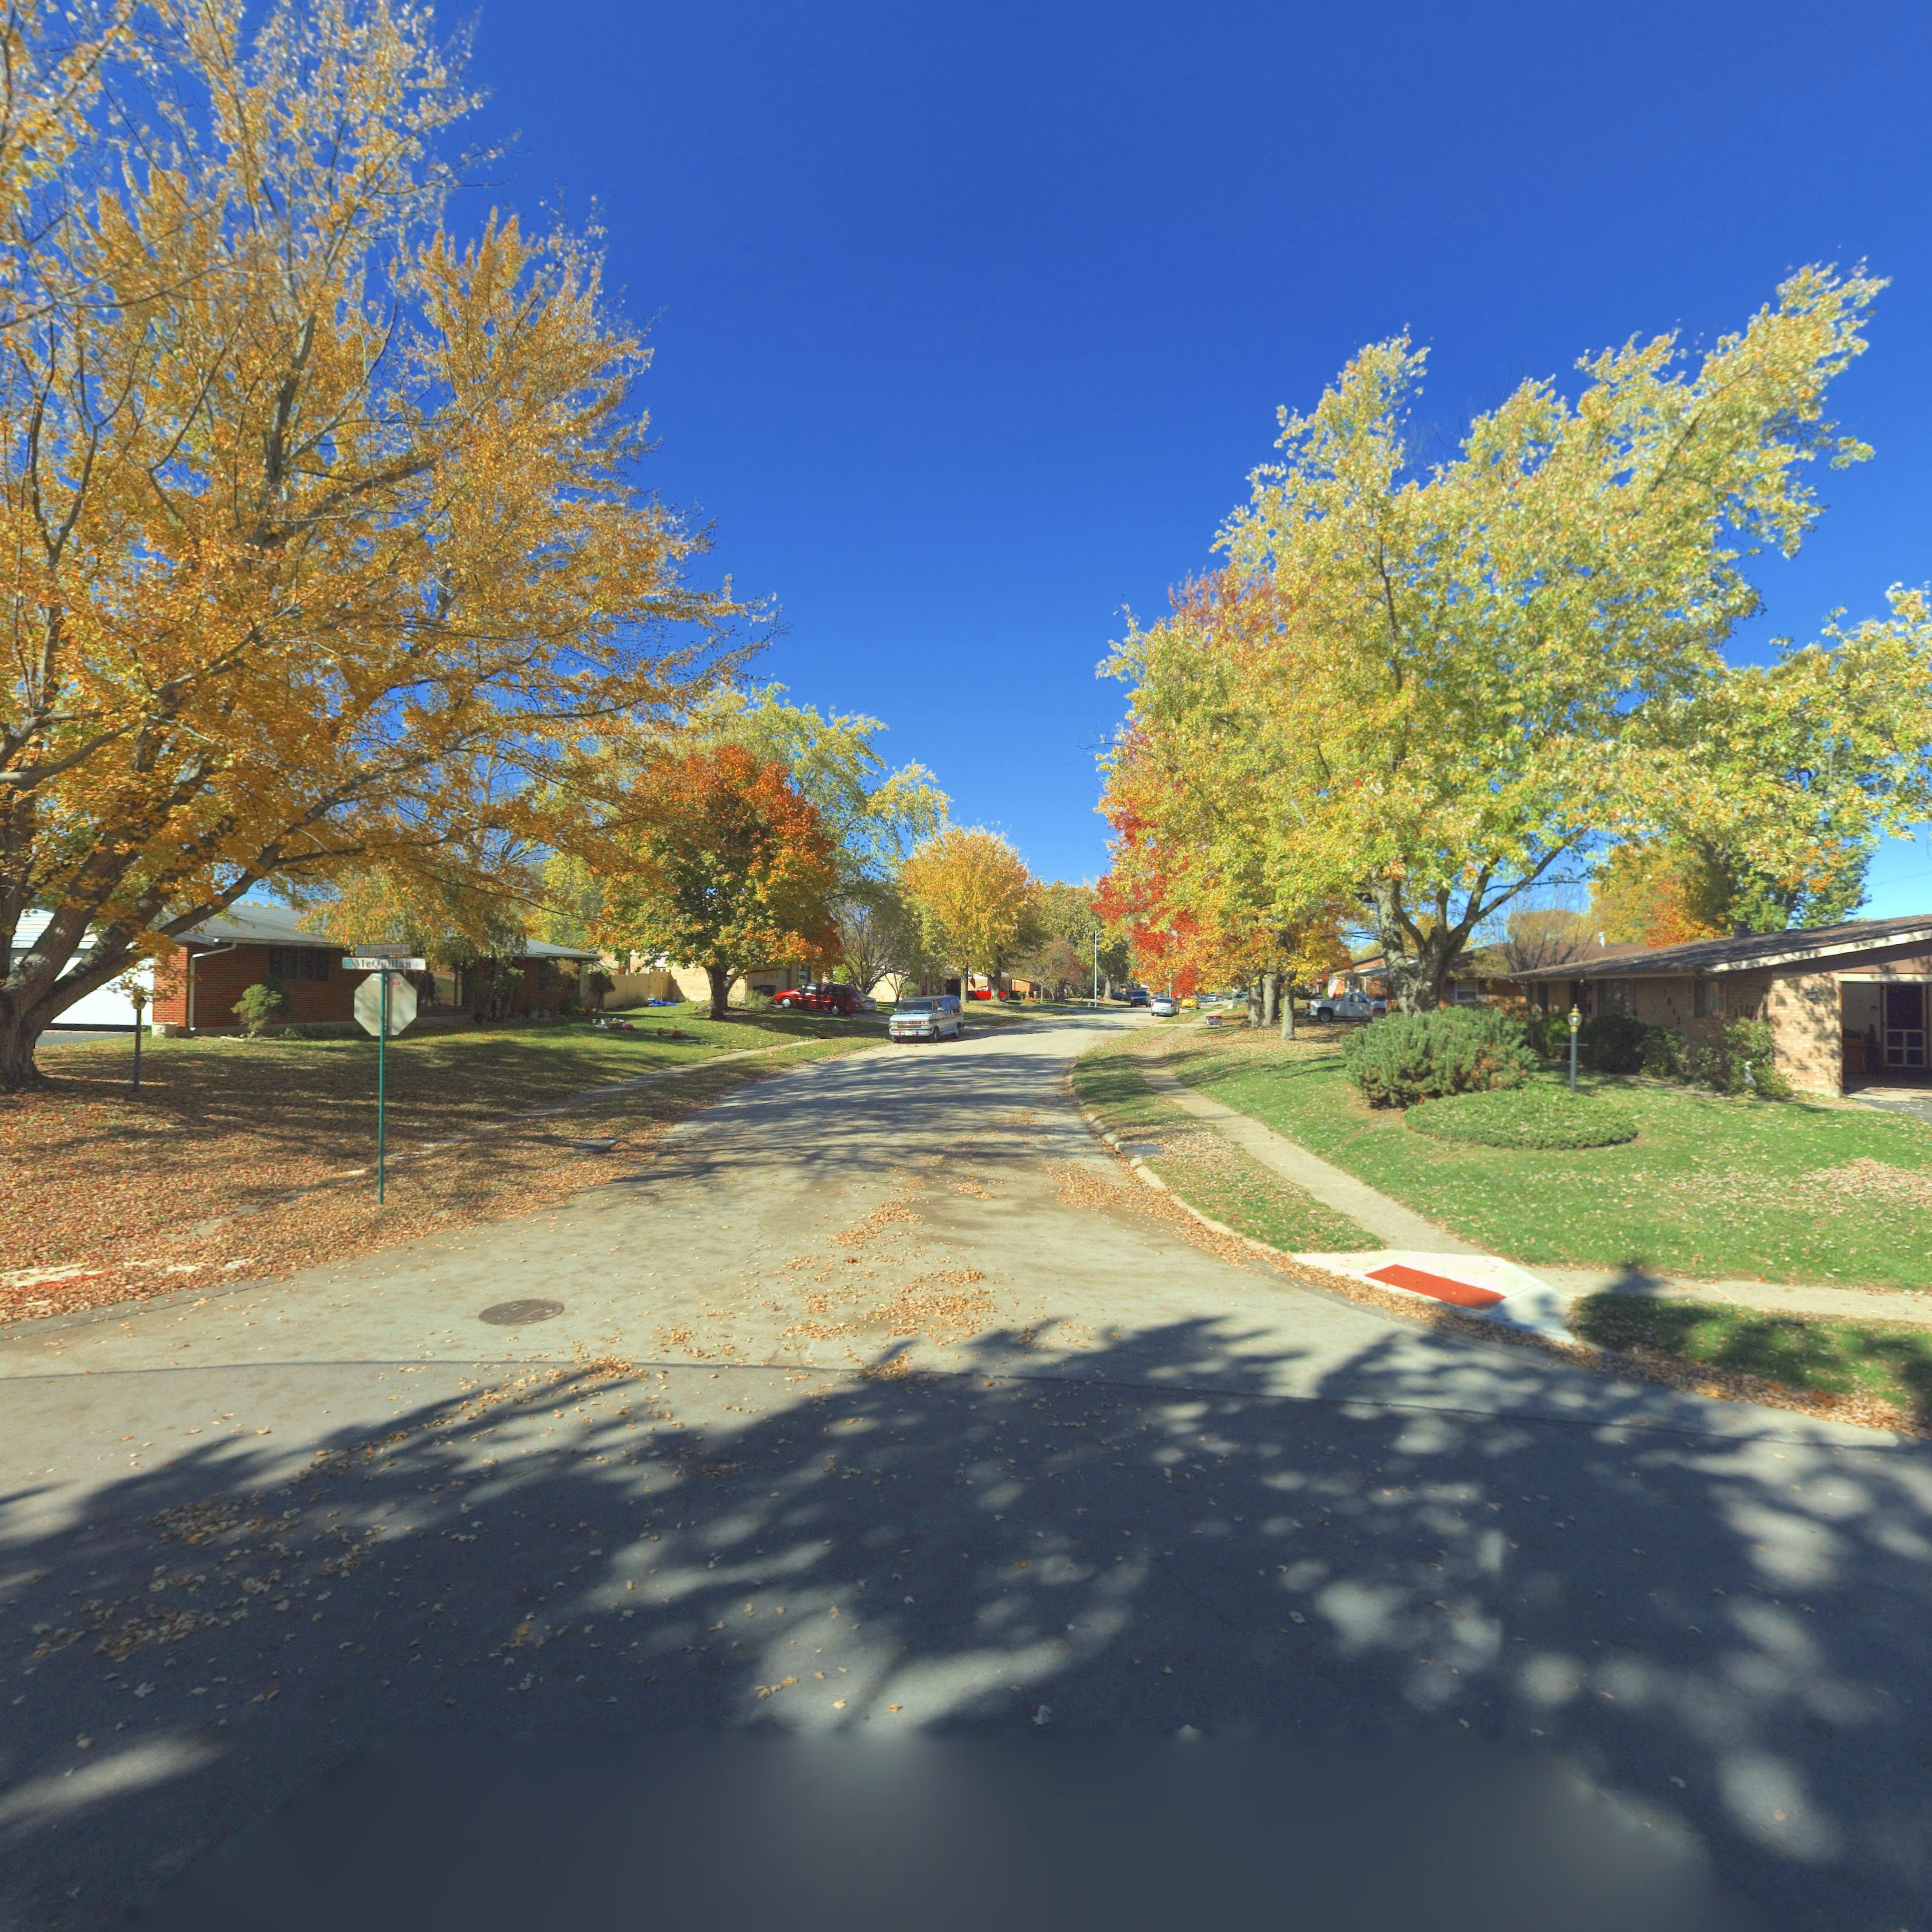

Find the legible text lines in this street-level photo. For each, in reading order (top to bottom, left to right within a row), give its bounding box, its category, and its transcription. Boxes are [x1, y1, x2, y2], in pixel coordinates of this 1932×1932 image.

[364, 945, 404, 956] StreetName: Heathwood
[353, 958, 424, 970] StreetName: McQuillan Dr
[1662, 986, 1681, 1025] StreetNumber: 10*2